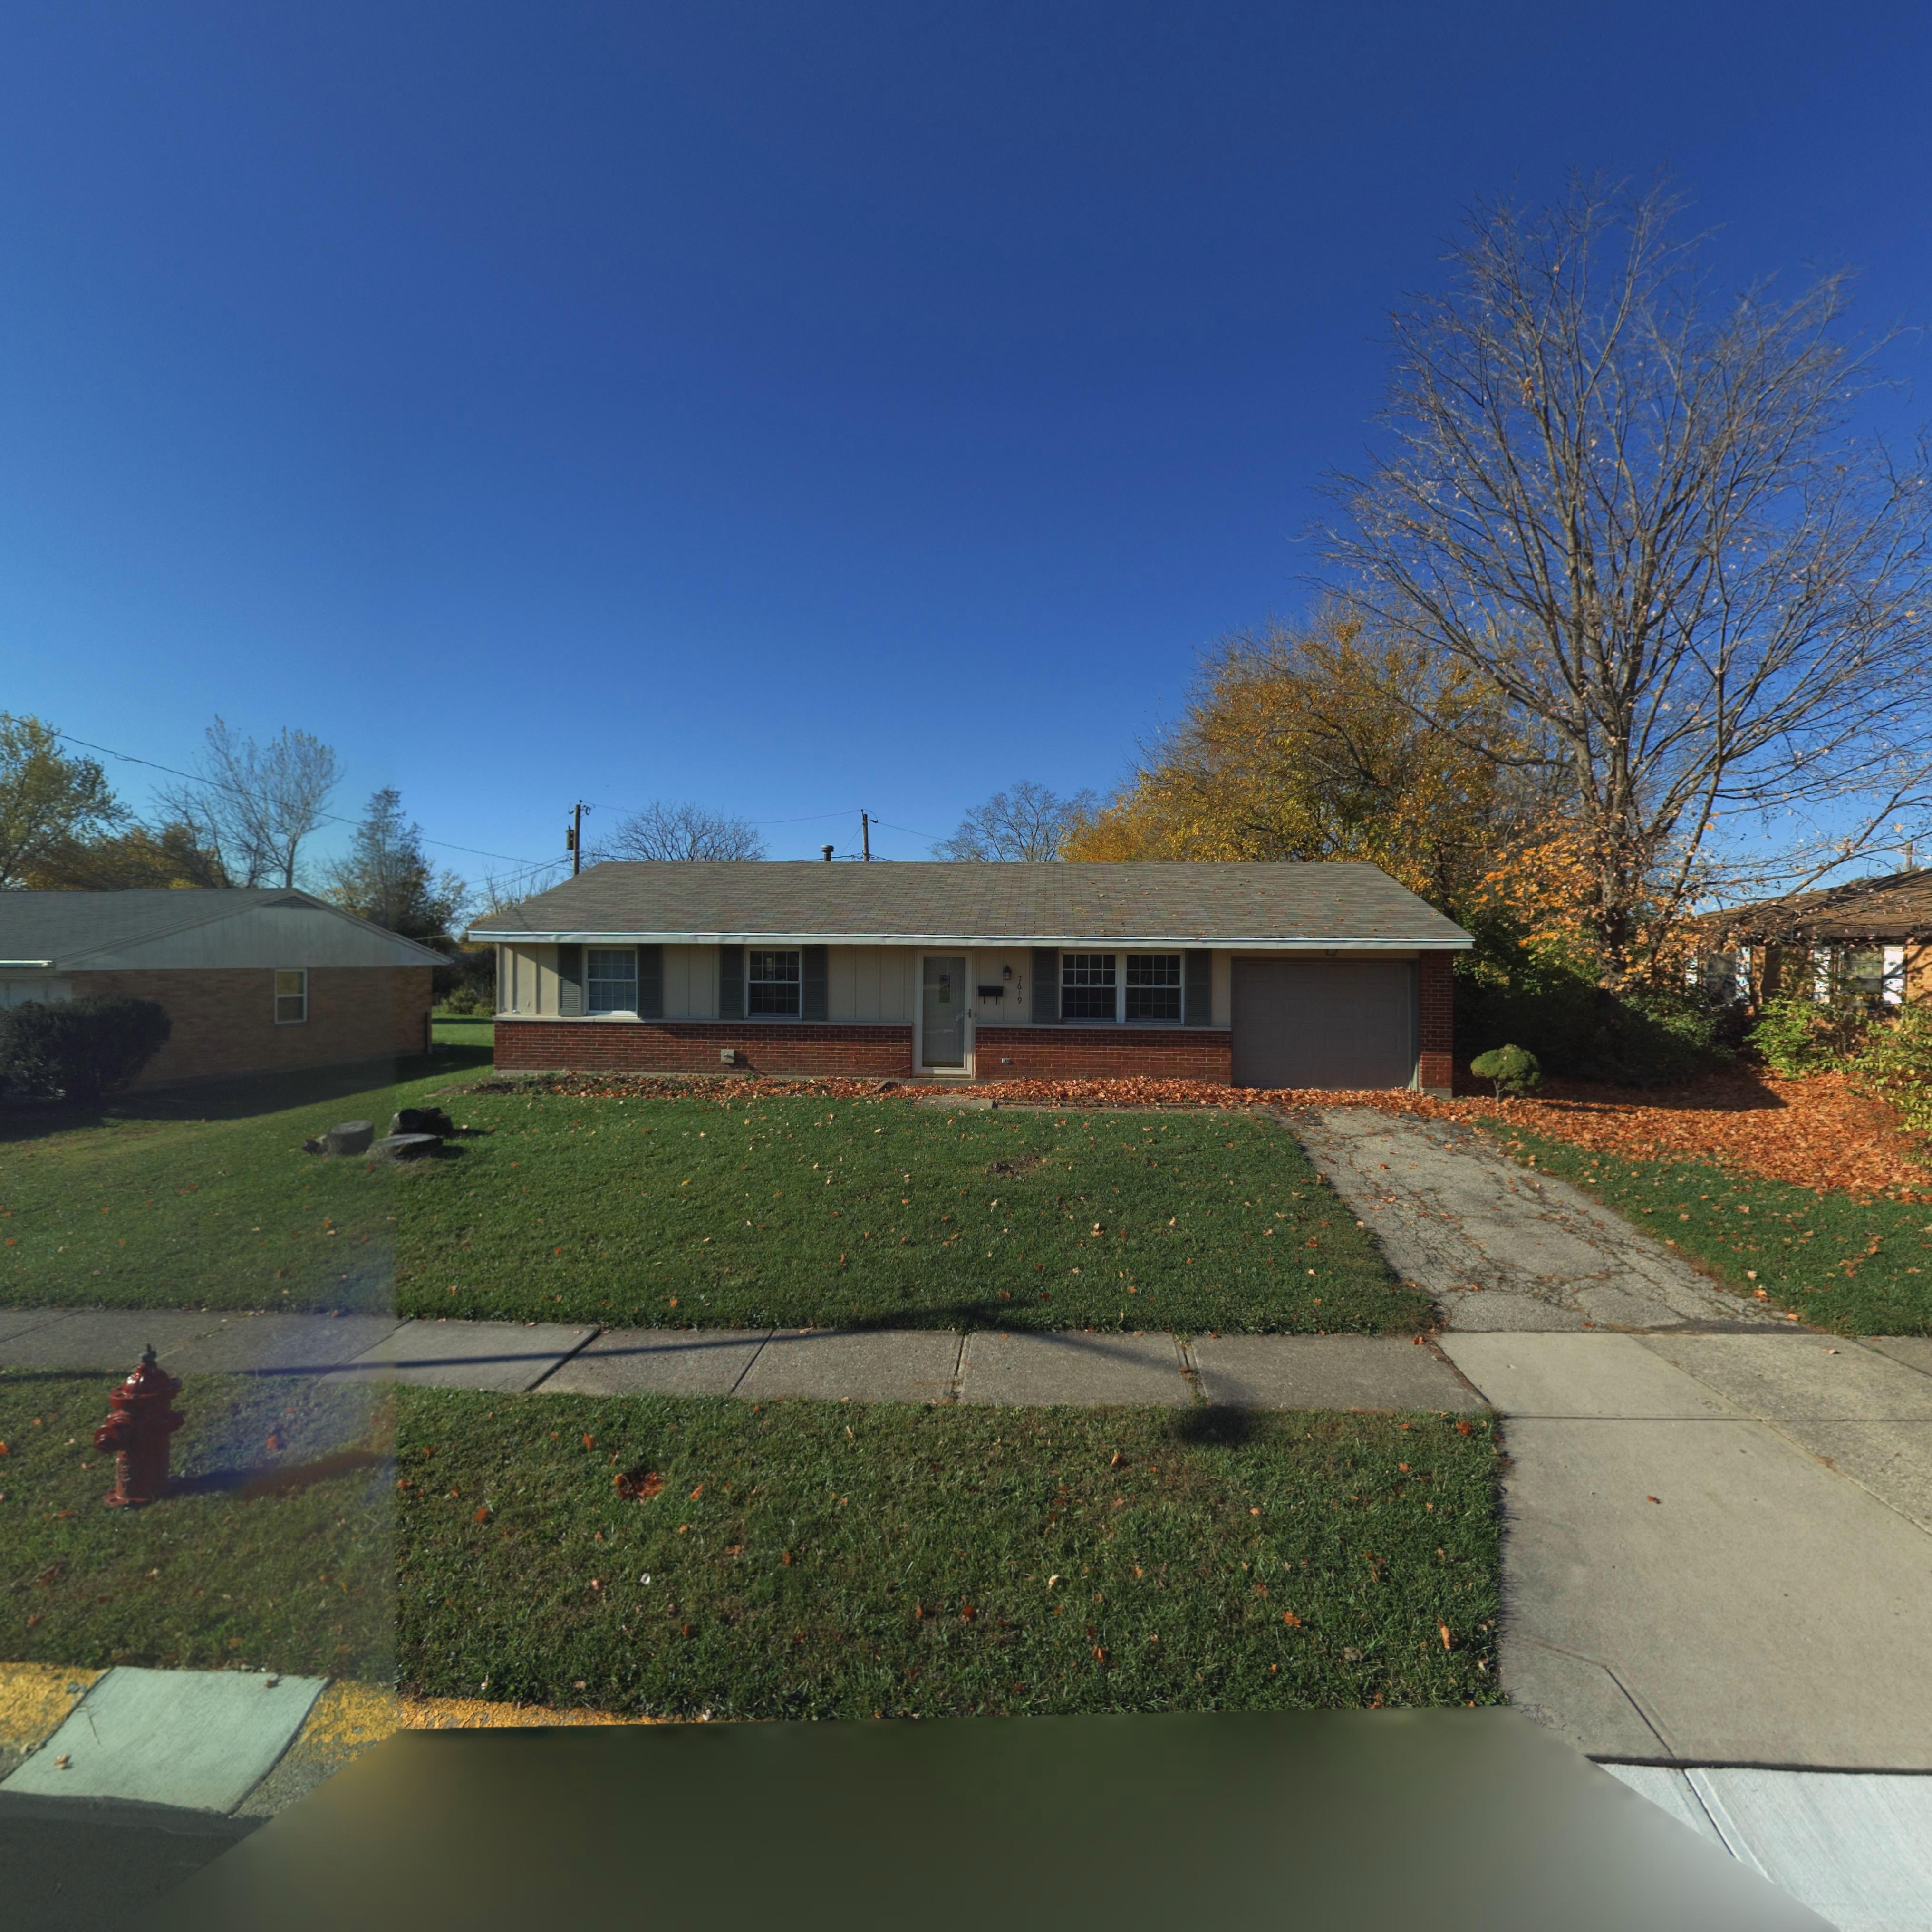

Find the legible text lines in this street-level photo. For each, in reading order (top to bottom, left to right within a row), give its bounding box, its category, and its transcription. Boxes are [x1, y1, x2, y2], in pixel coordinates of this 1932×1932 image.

[1016, 974, 1024, 1006] StreetNumber: 7619